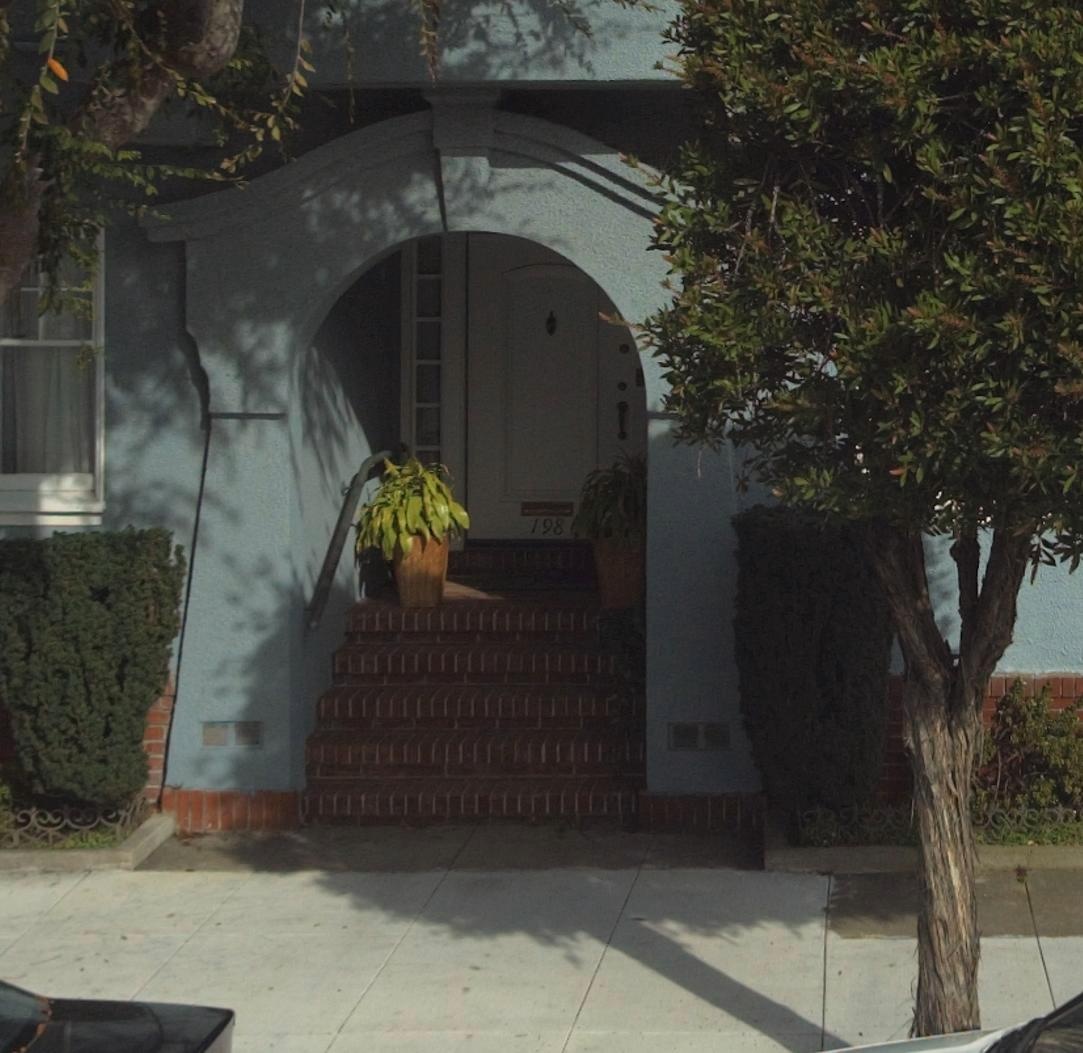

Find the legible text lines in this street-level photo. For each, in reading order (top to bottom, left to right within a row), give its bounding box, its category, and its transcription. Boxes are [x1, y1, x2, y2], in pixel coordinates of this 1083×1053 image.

[529, 517, 566, 536] StreetNumber: 198